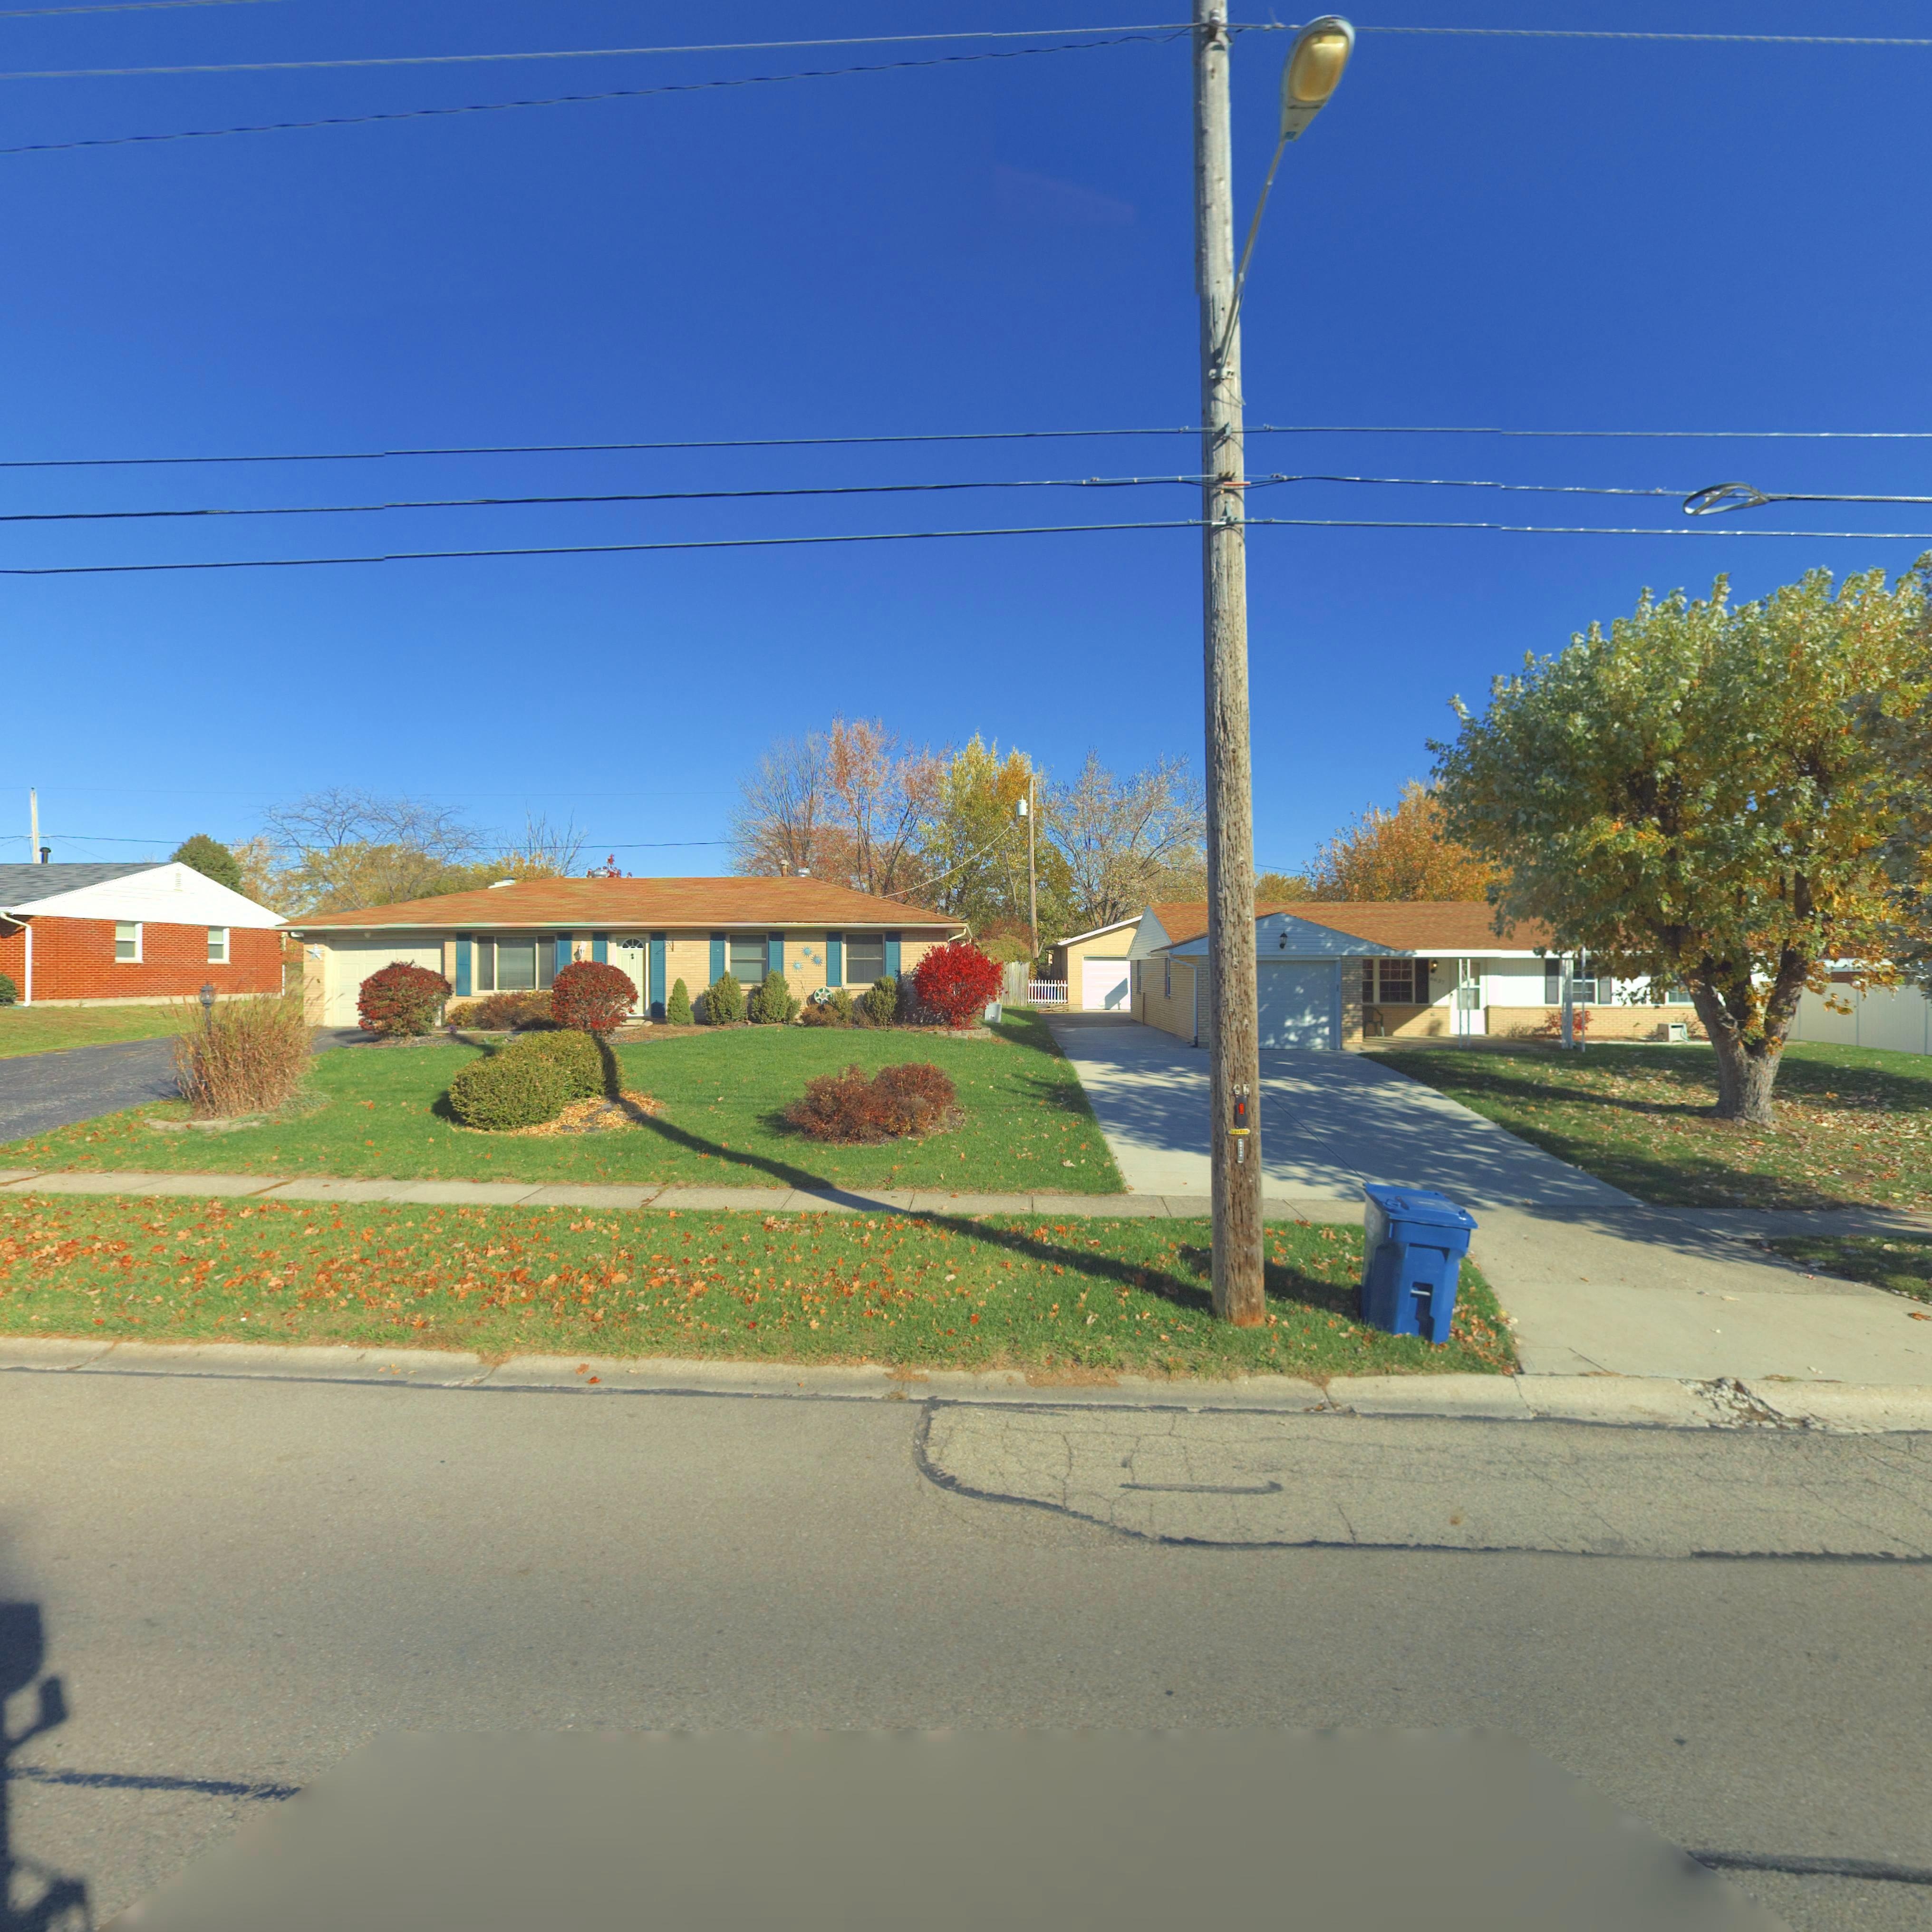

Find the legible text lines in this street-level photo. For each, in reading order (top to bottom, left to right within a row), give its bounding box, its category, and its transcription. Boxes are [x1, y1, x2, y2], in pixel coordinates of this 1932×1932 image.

[1429, 975, 1446, 986] StreetNumber: 66*7